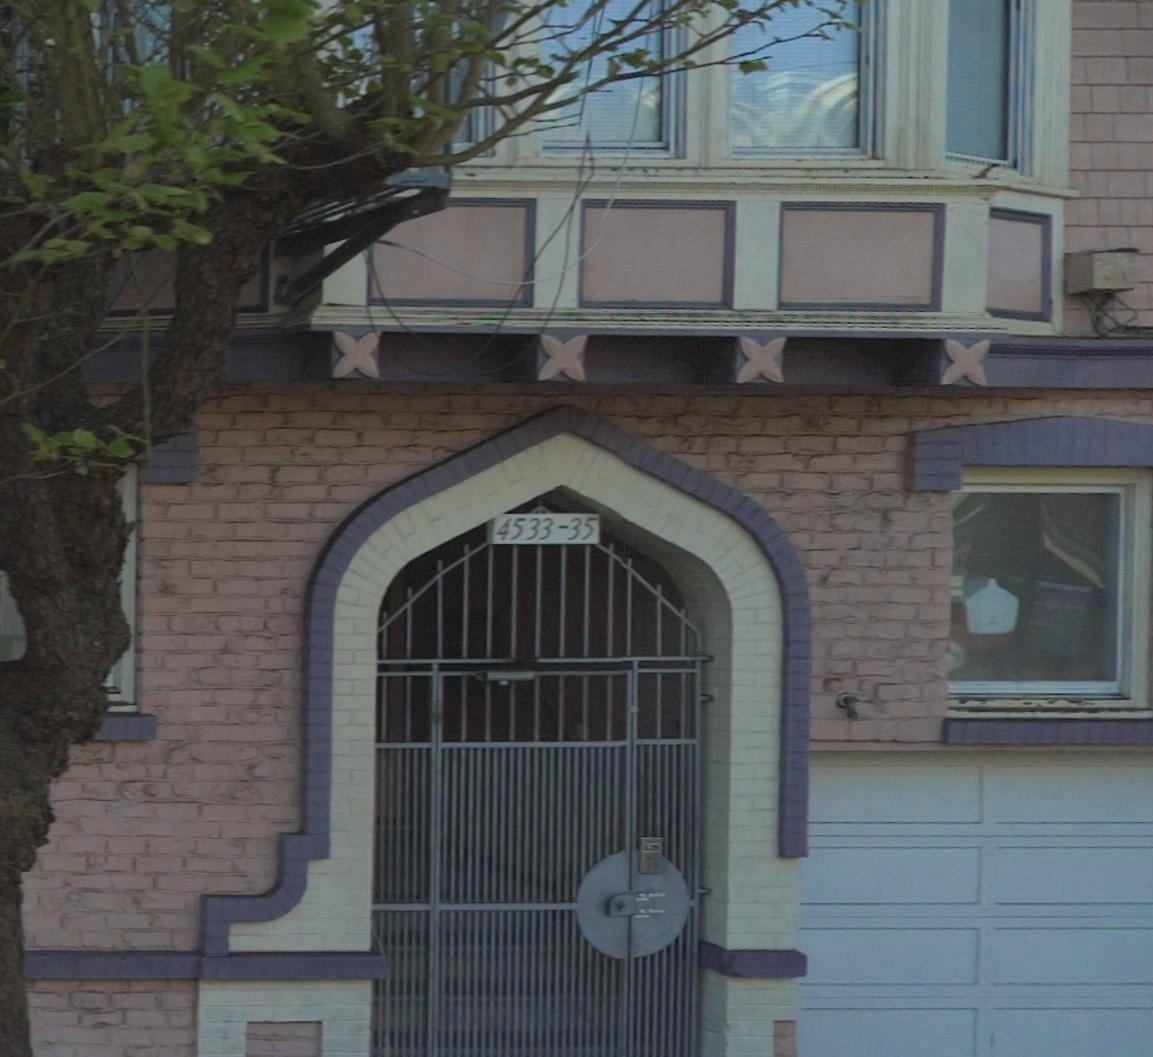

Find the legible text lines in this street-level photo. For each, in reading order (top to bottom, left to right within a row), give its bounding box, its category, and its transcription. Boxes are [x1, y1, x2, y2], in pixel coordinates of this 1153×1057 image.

[491, 514, 599, 543] StreetNumber: 4533-35